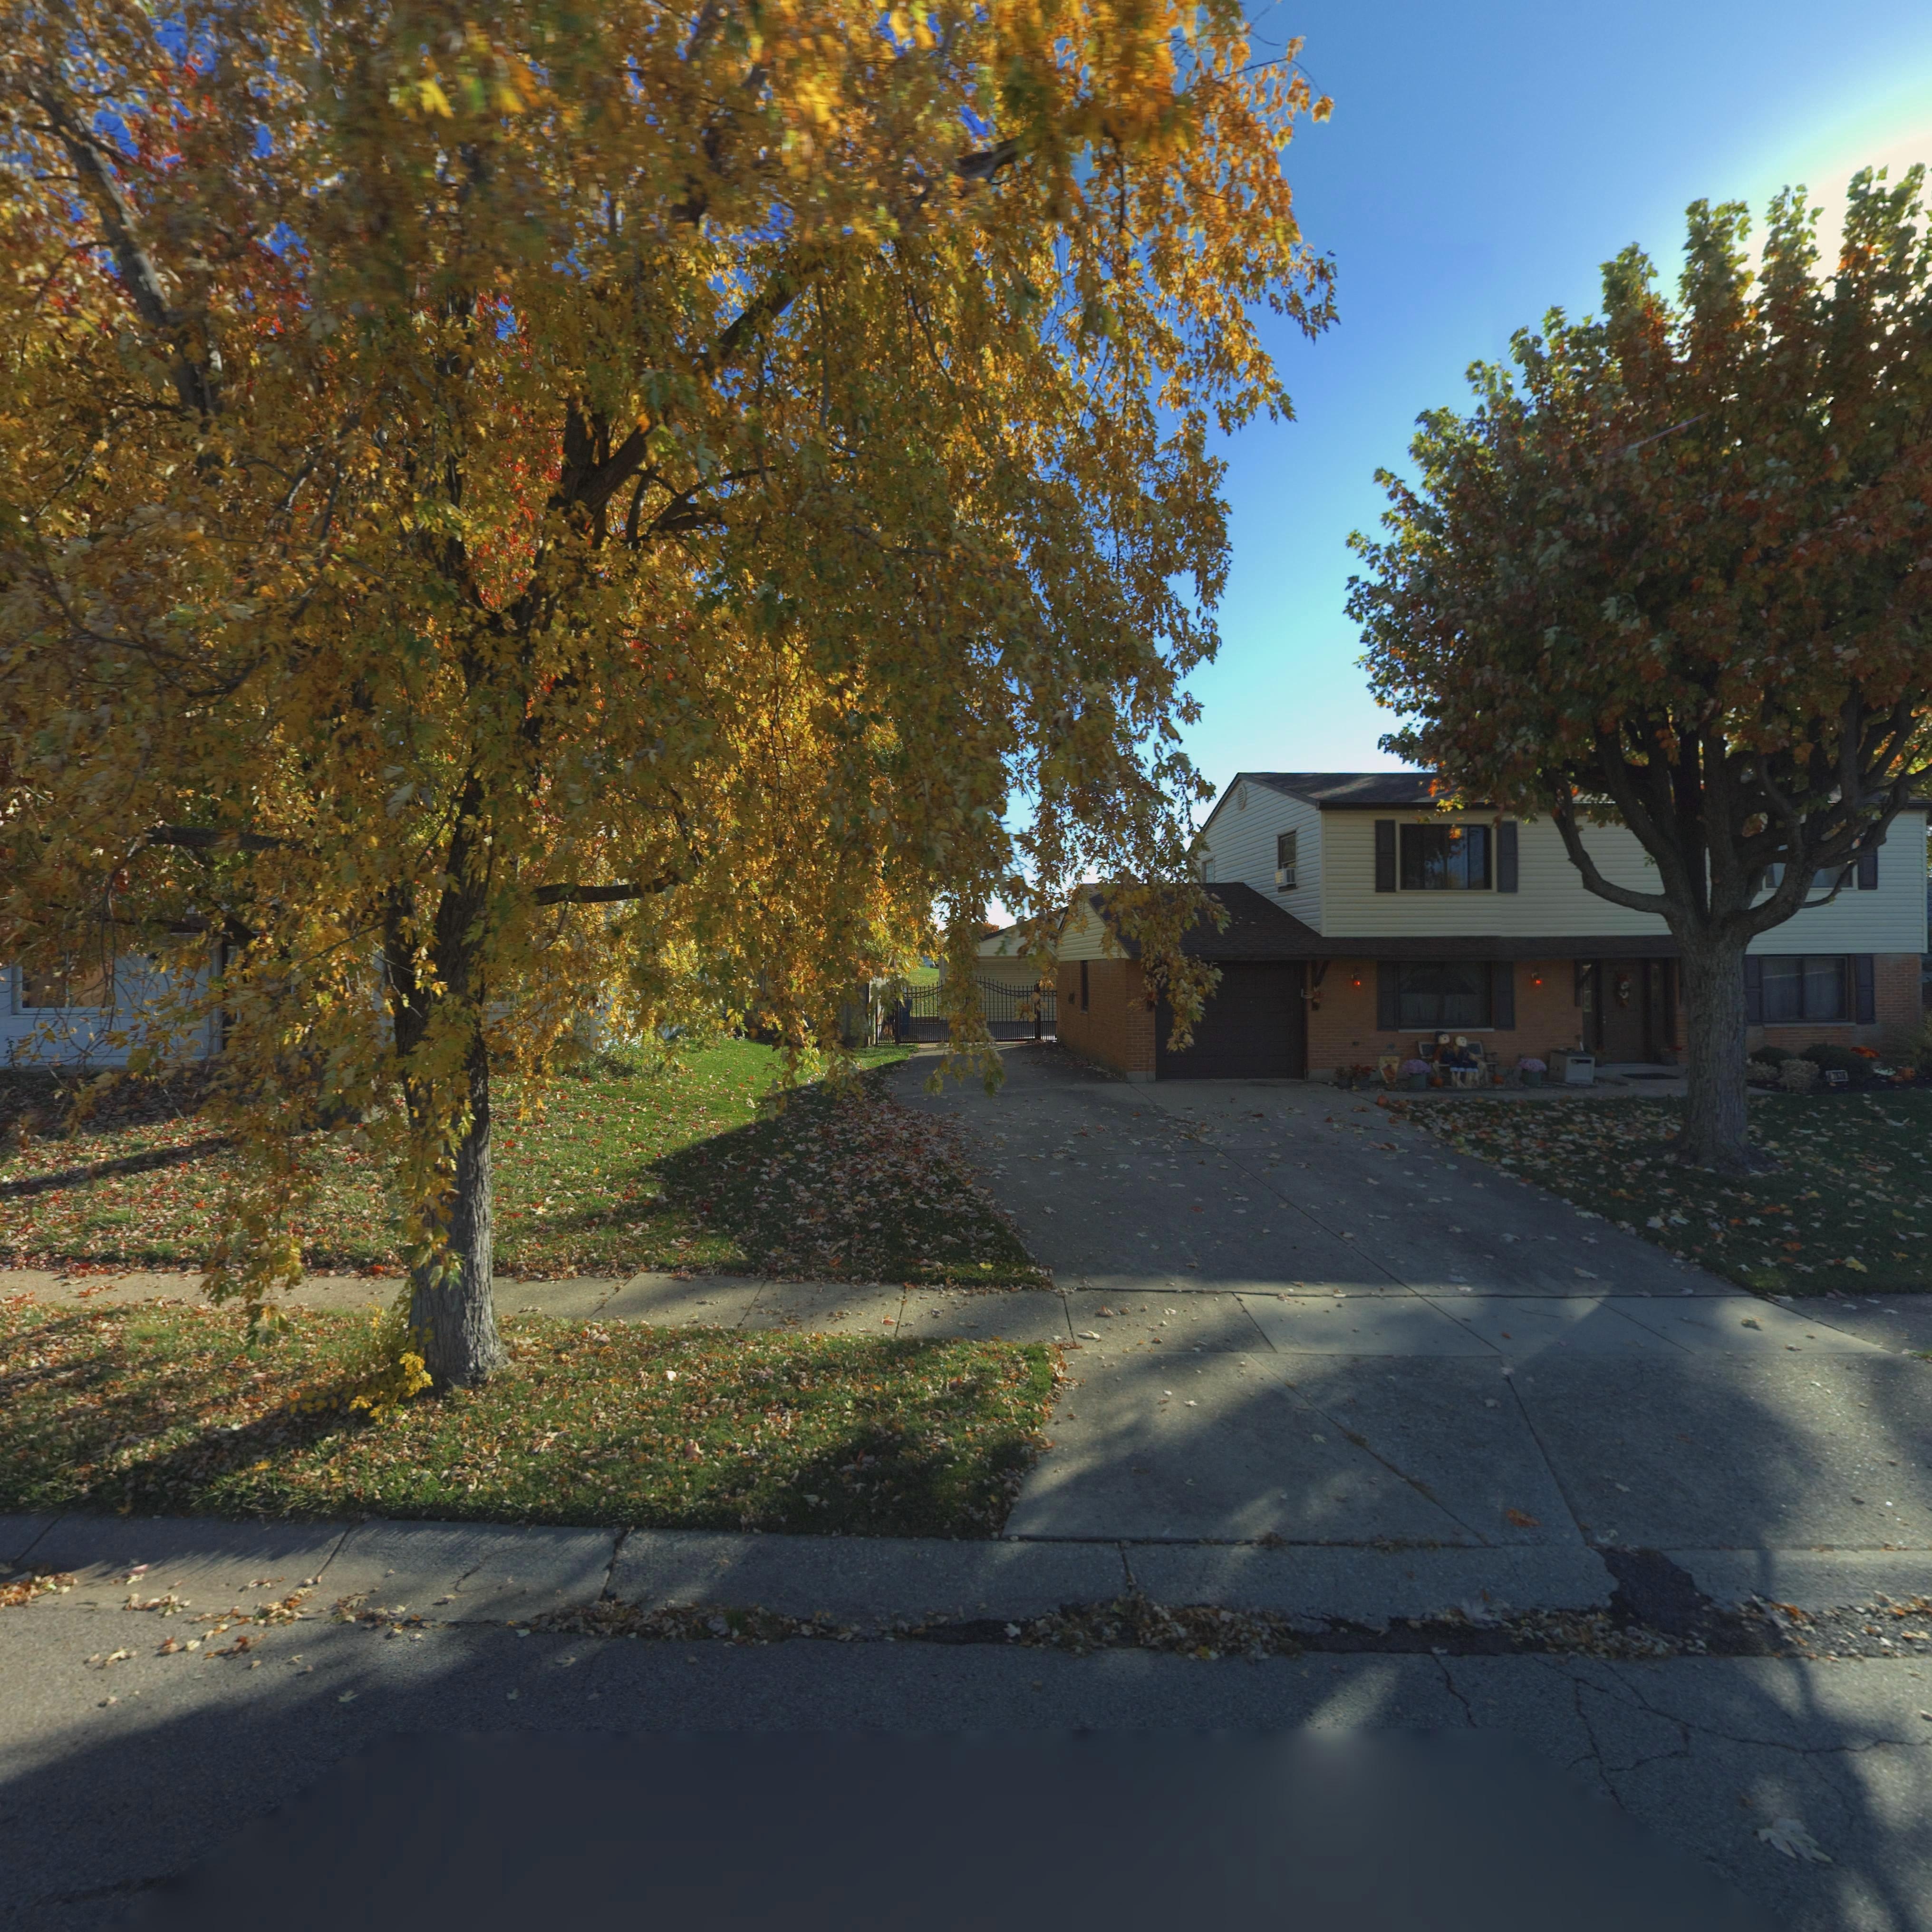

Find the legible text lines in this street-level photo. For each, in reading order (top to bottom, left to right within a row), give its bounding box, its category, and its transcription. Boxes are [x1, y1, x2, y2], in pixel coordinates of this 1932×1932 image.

[1830, 1071, 1846, 1079] StreetNumber: 76**